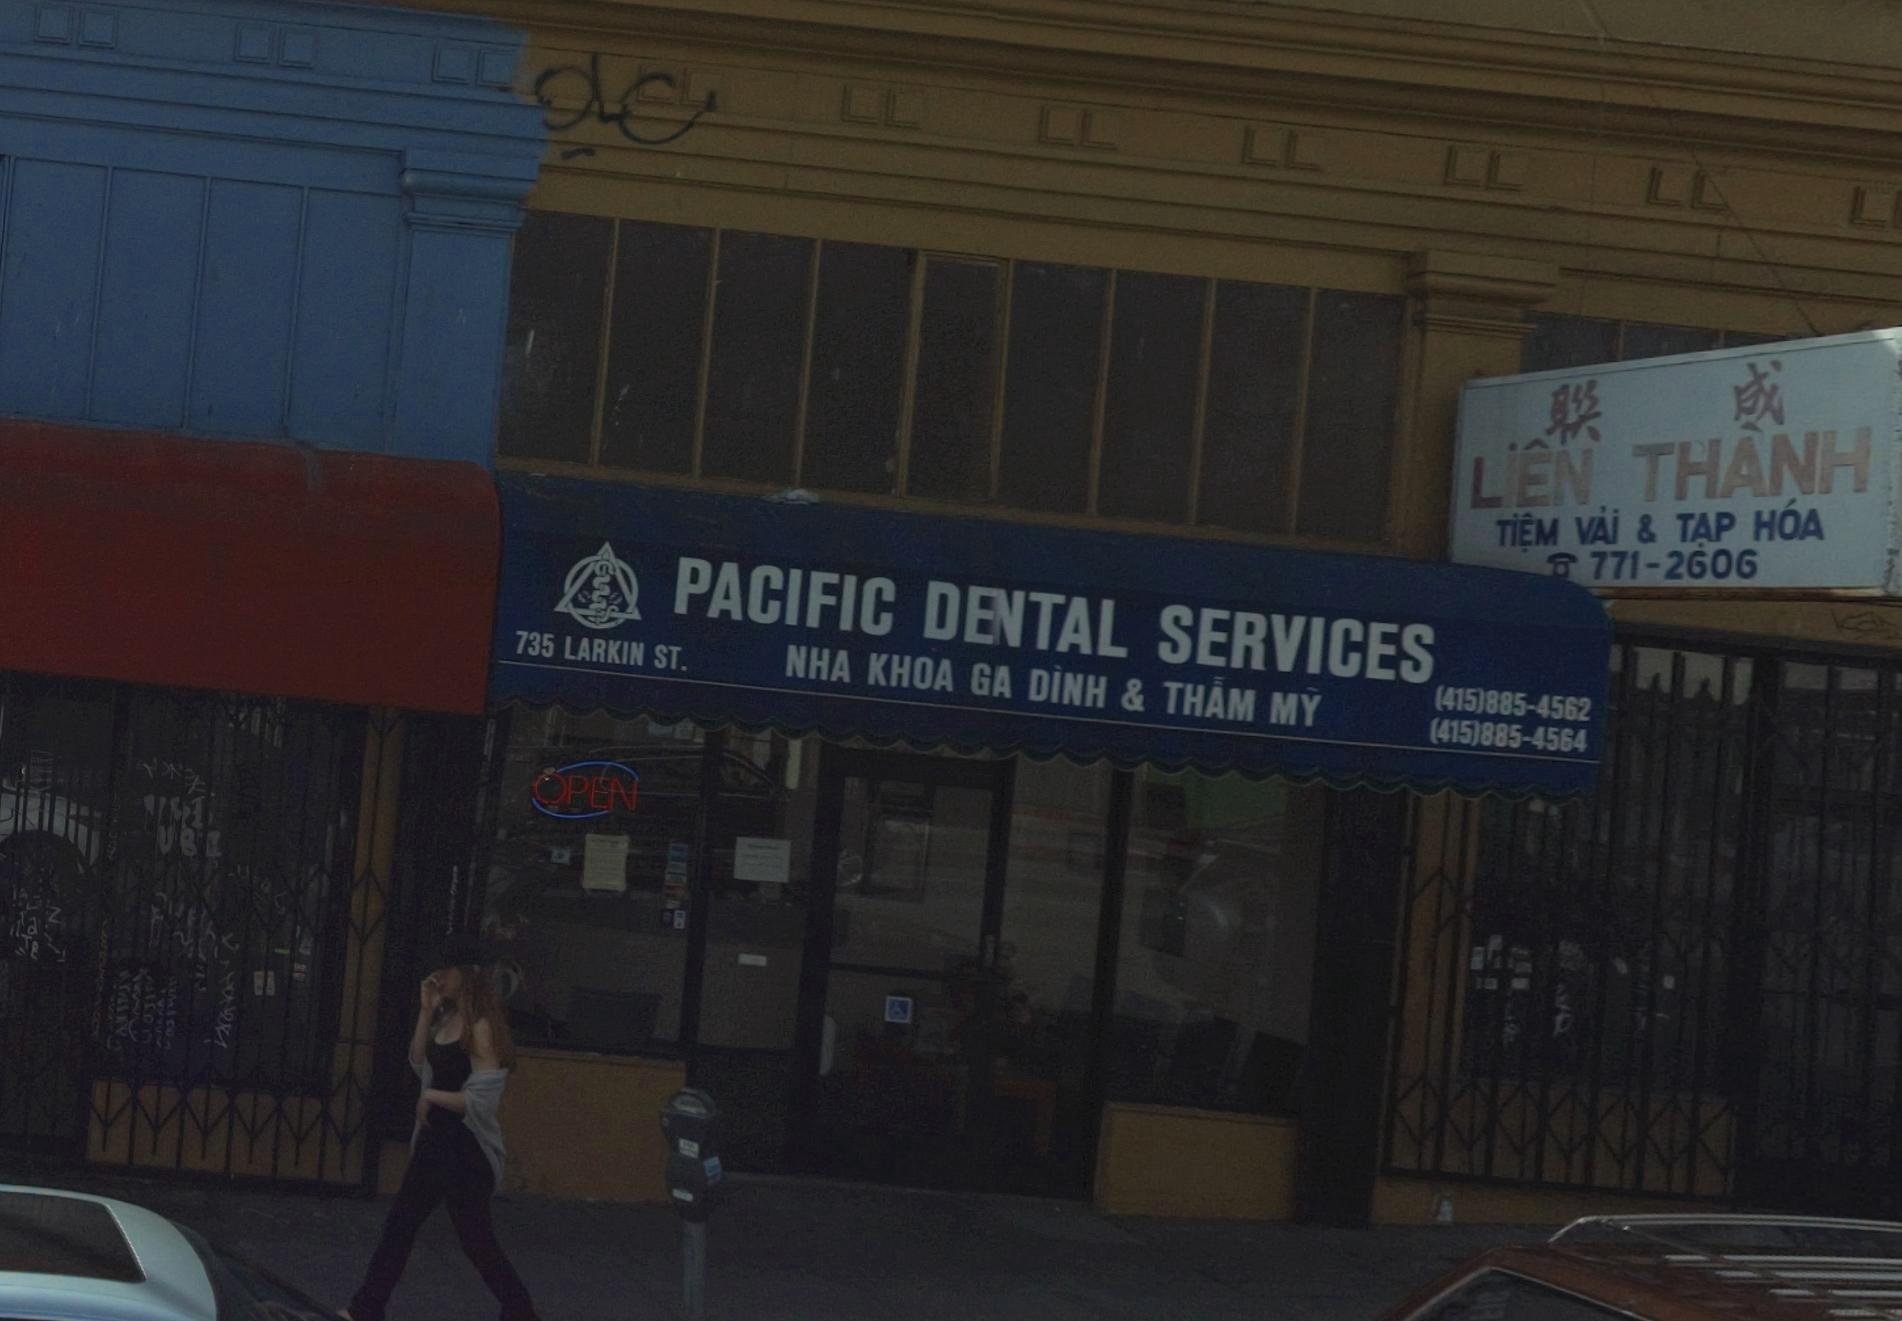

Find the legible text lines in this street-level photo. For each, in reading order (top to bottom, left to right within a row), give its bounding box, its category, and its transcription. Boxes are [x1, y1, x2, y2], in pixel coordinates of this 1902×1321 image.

[1465, 420, 1876, 513] BusinessName: LiEN THANH
[1493, 505, 1829, 550] None: TiEM VAi & TAP HOA
[1586, 545, 1762, 583] None: 771-2606
[668, 550, 1441, 690] BusinessName: PACIFIC D**TAL SERVICE
[512, 627, 558, 660] StreetNumber: 735
[562, 632, 691, 673] StreetName: LARKIN ST.
[781, 639, 1328, 731] None: NHA KHOA GA DINH & THAM MY
[1432, 682, 1596, 725] None: (415)885-4562
[1426, 714, 1591, 756] None: (415)885-4564
[530, 770, 639, 814] None: OPEN
[20, 932, 35, 952] None: T
[24, 914, 40, 938] None: a
[45, 903, 65, 926] None: Z